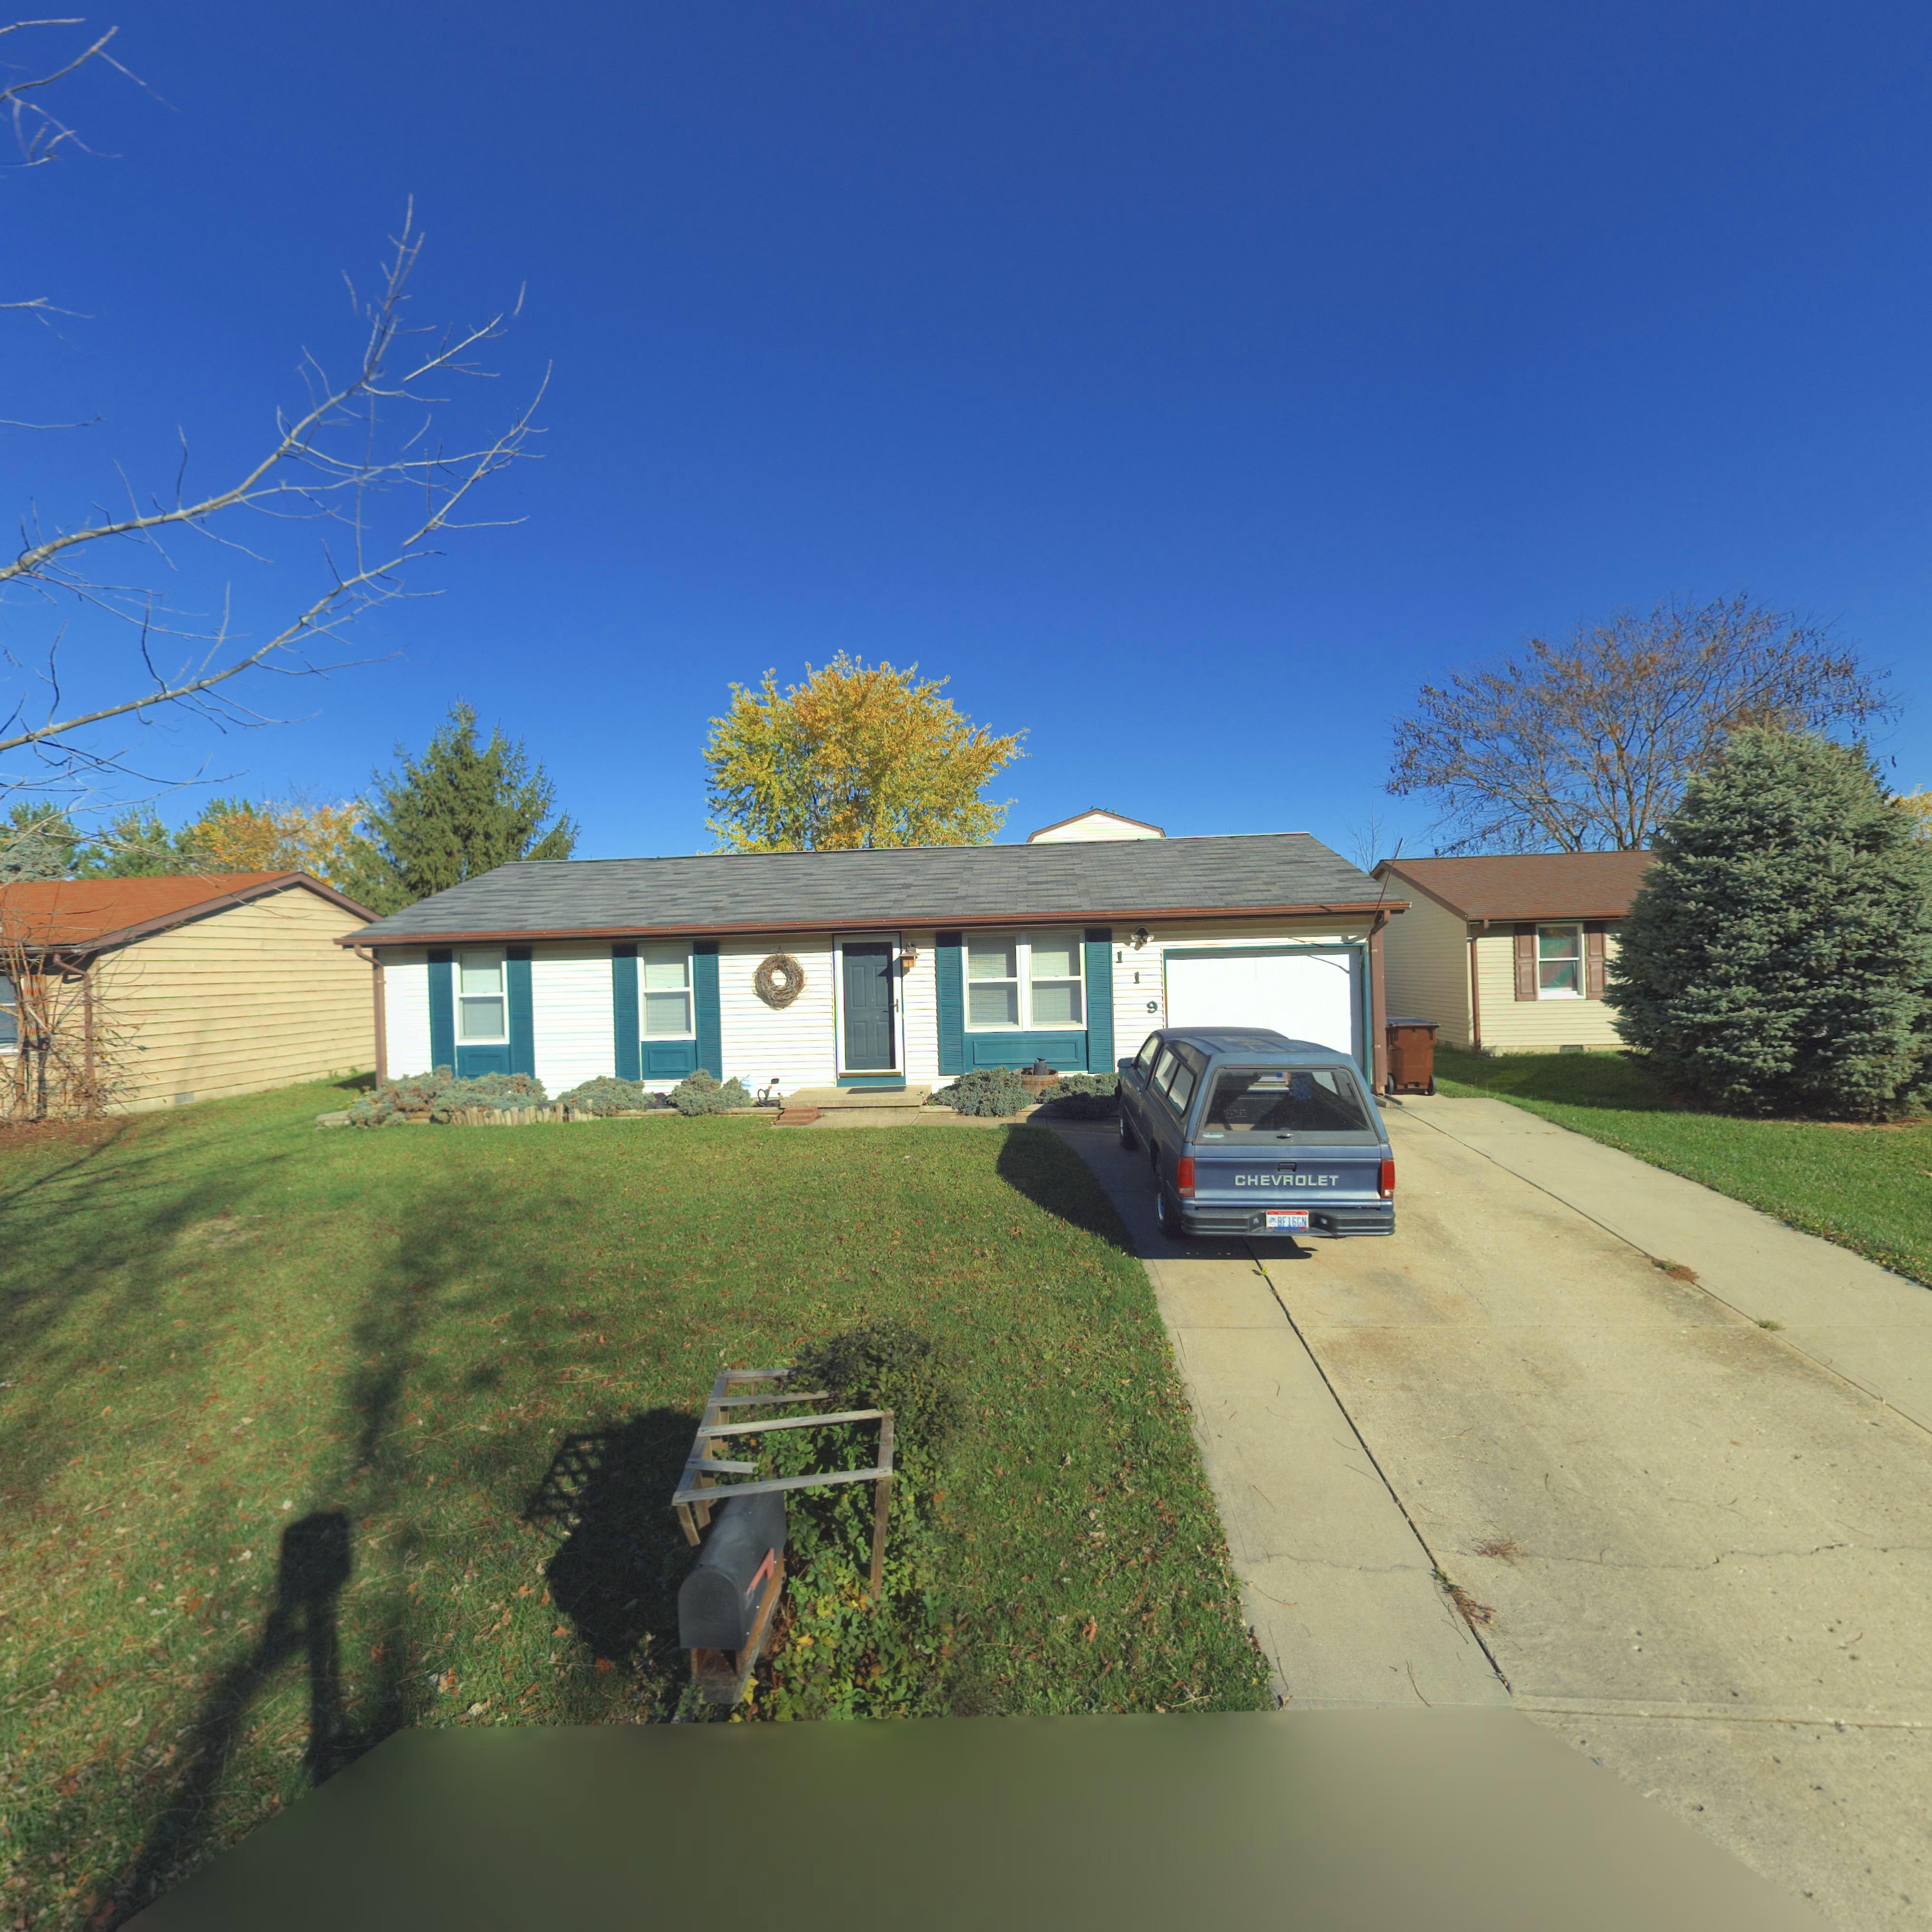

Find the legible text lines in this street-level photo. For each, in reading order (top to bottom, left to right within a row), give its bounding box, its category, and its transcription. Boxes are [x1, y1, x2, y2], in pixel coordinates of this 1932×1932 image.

[1115, 950, 1158, 1014] StreetNumber: 119